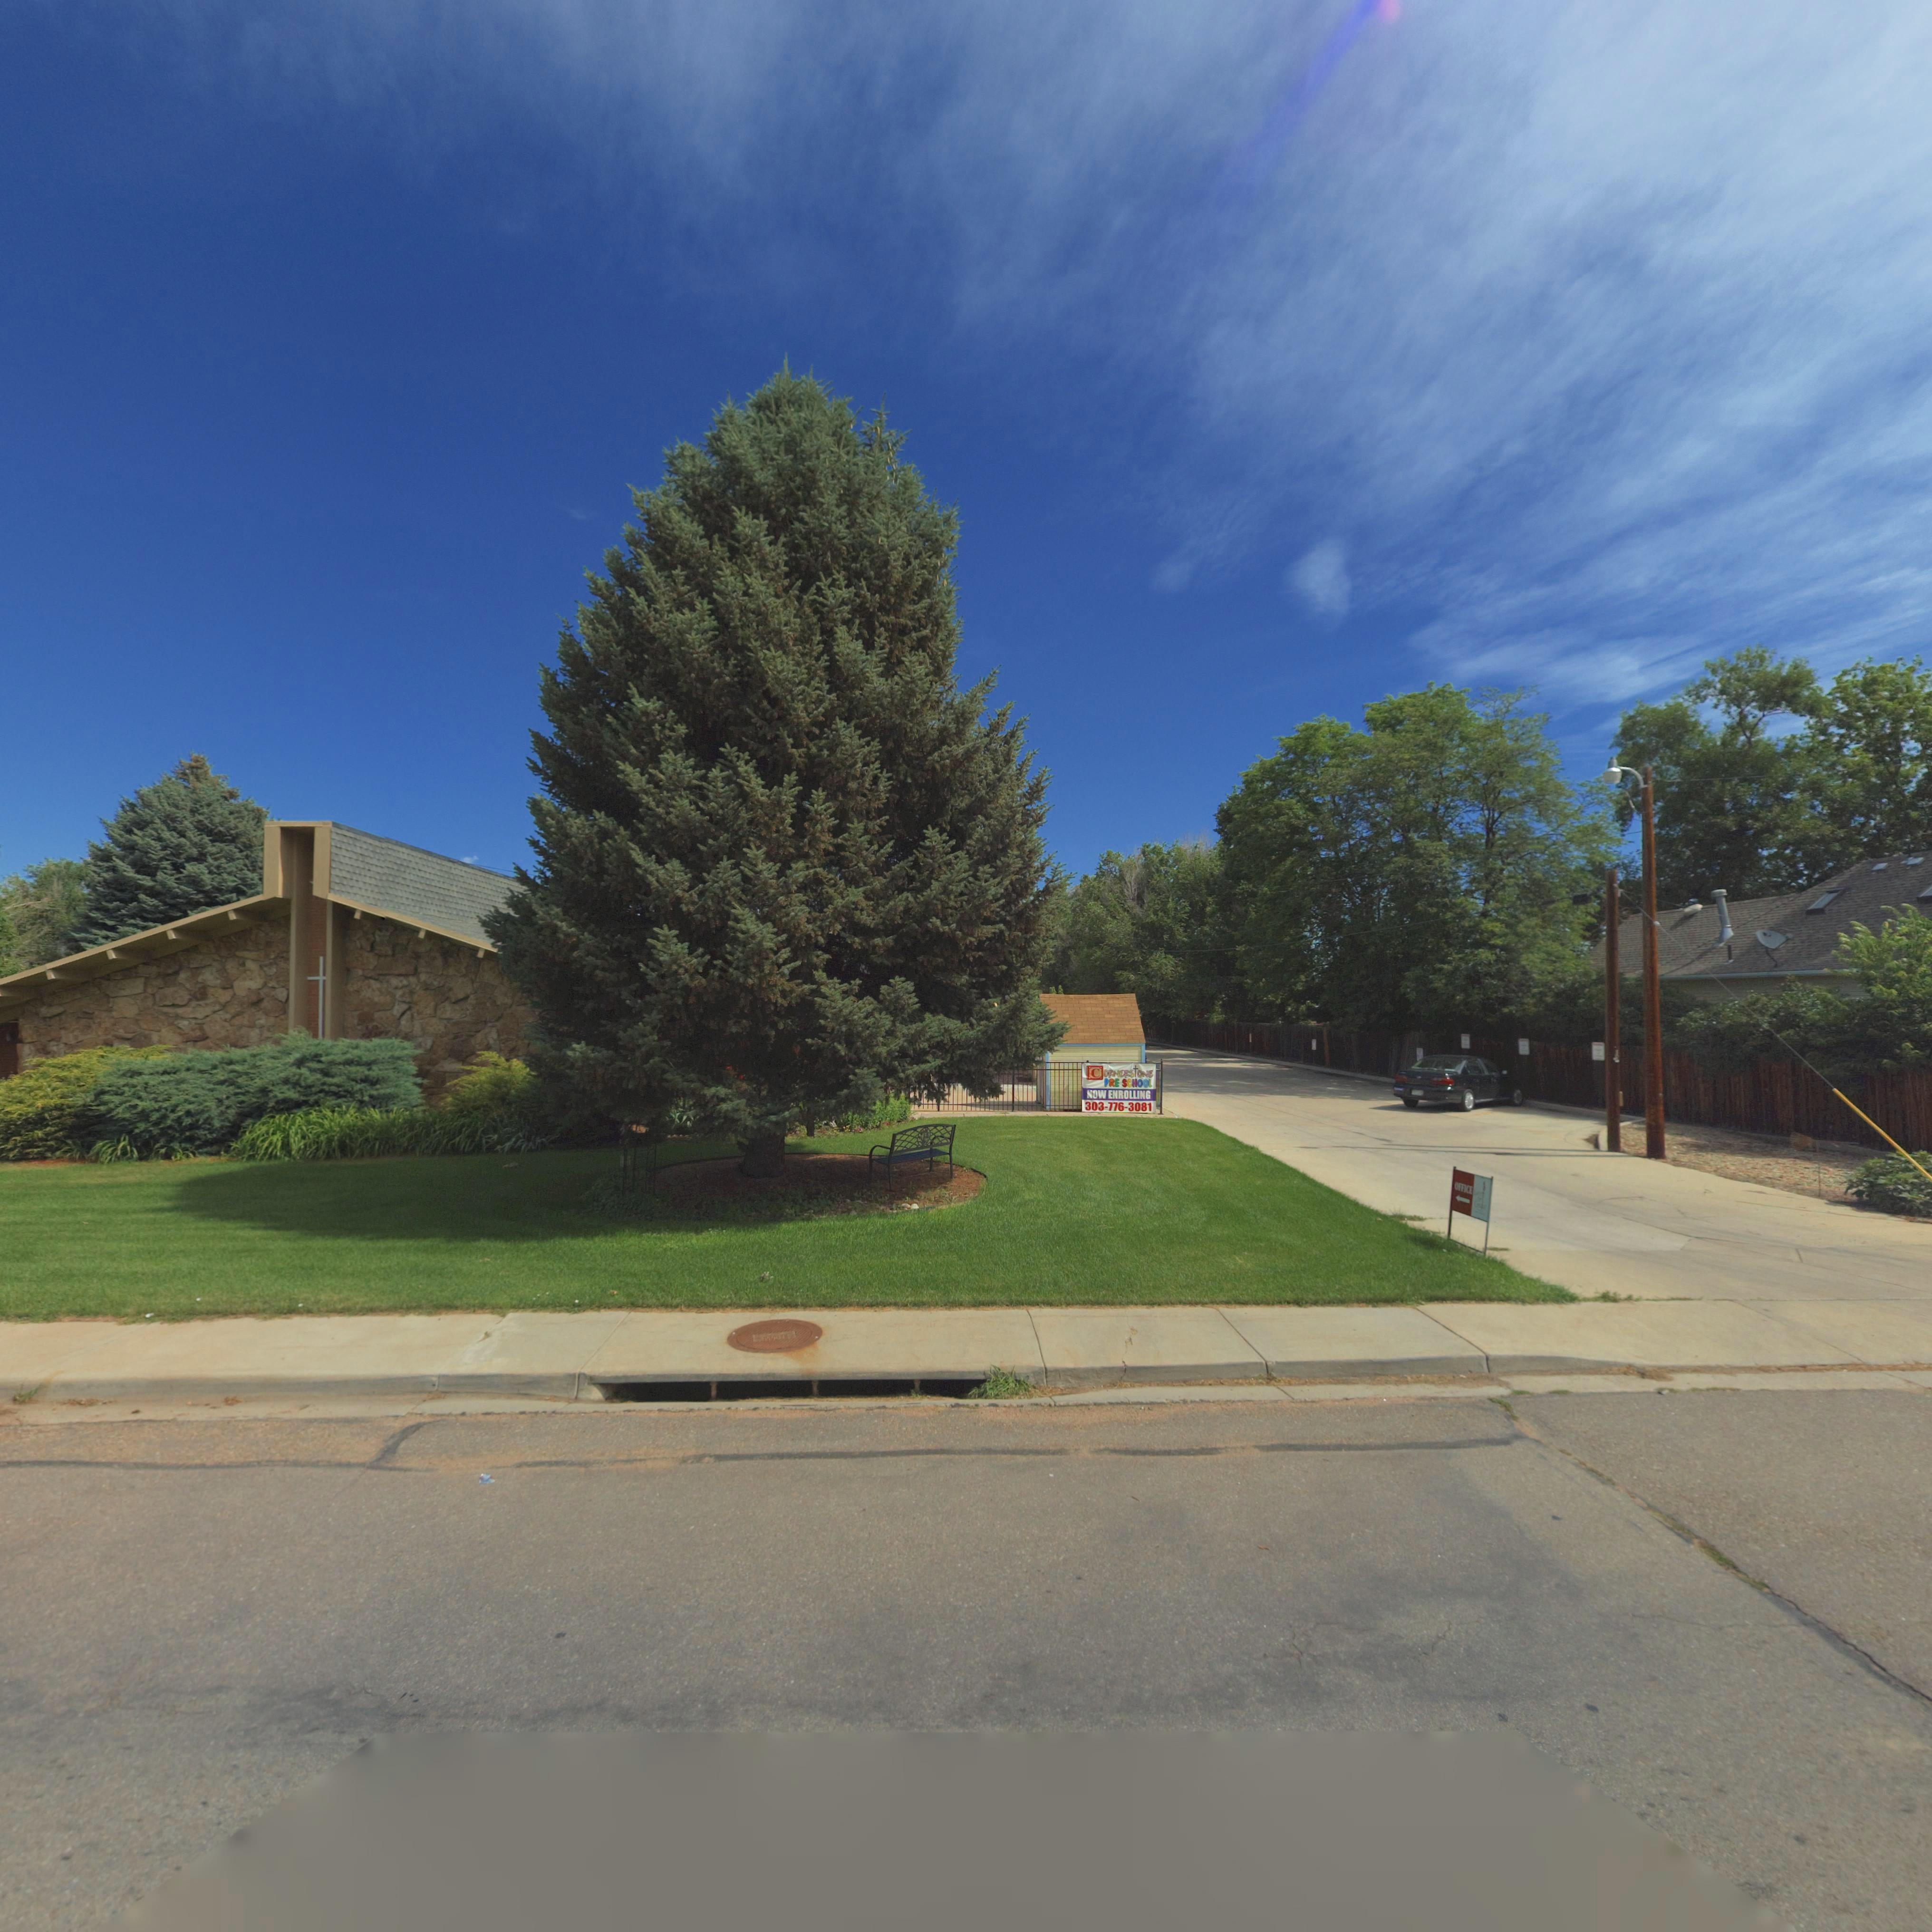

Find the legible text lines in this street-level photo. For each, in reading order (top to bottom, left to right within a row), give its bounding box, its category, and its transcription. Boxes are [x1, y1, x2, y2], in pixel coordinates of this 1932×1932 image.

[1090, 1064, 1154, 1078] BusinessName: CORNERStONE
[1104, 1077, 1153, 1088] BusinessName: PRE*SCHOOL